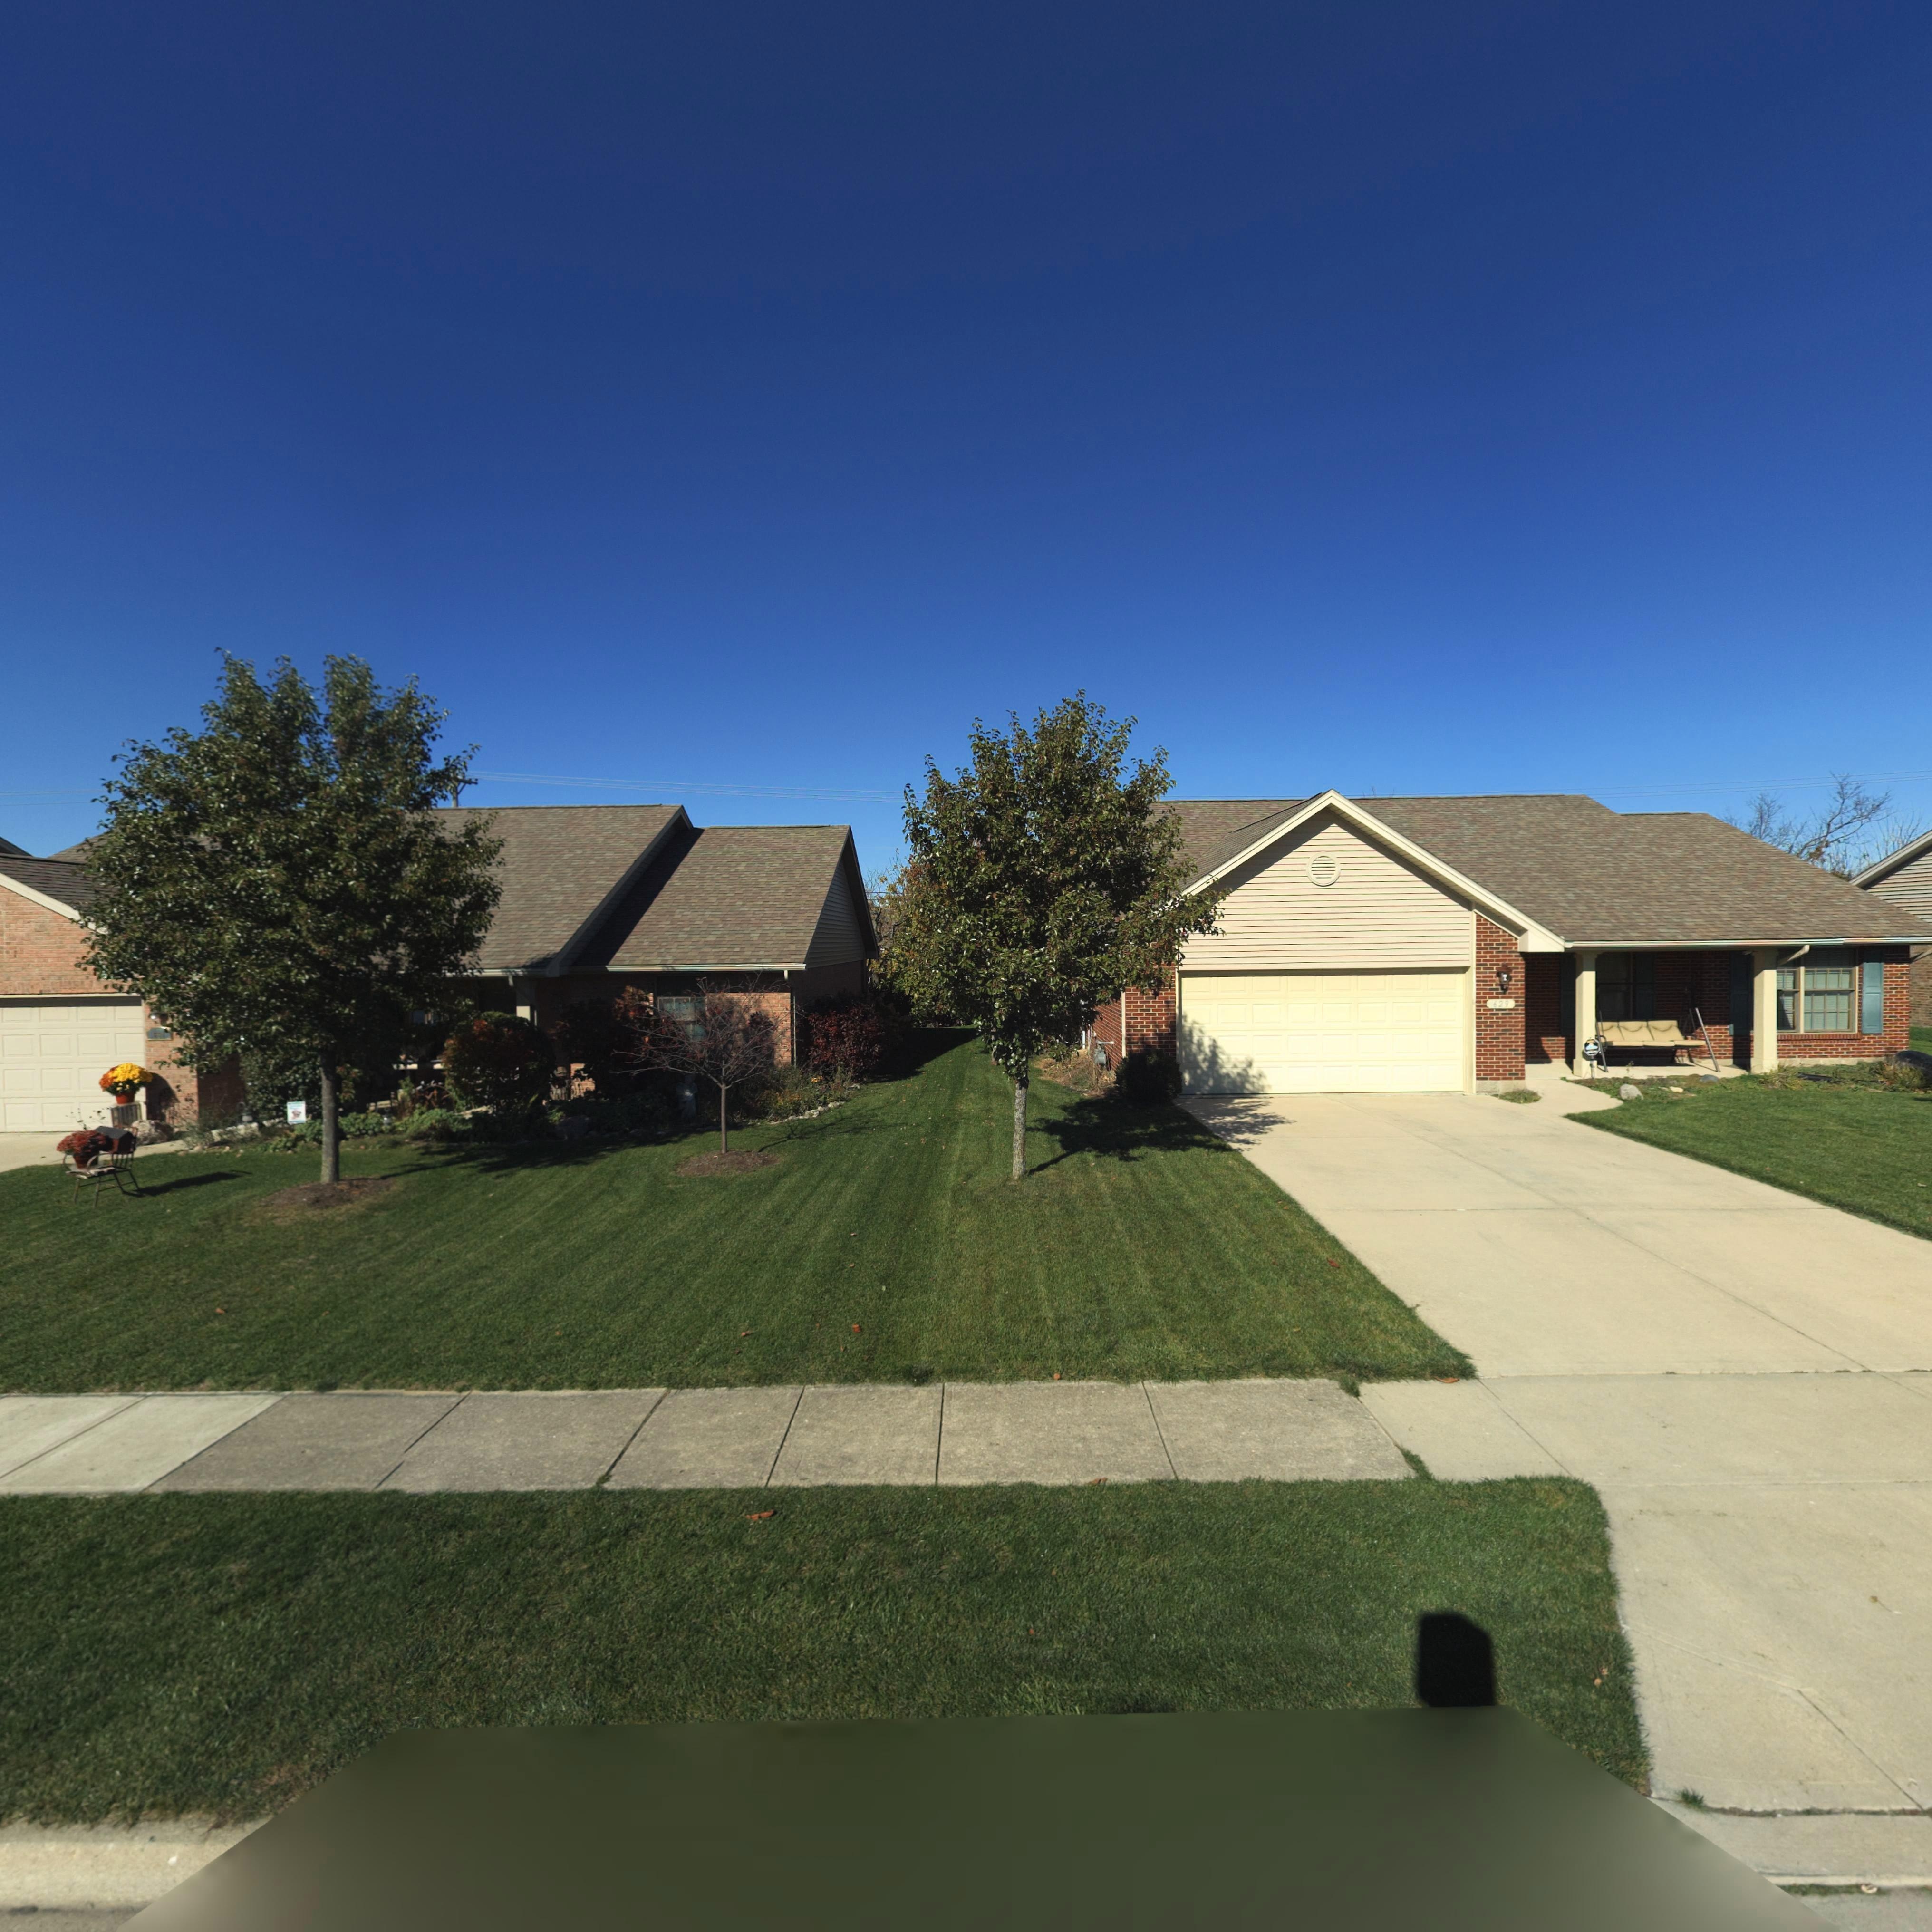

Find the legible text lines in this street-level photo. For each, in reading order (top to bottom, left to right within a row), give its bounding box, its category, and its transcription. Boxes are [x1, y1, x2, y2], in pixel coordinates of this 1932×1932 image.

[1492, 999, 1510, 1009] StreetNumber: 629